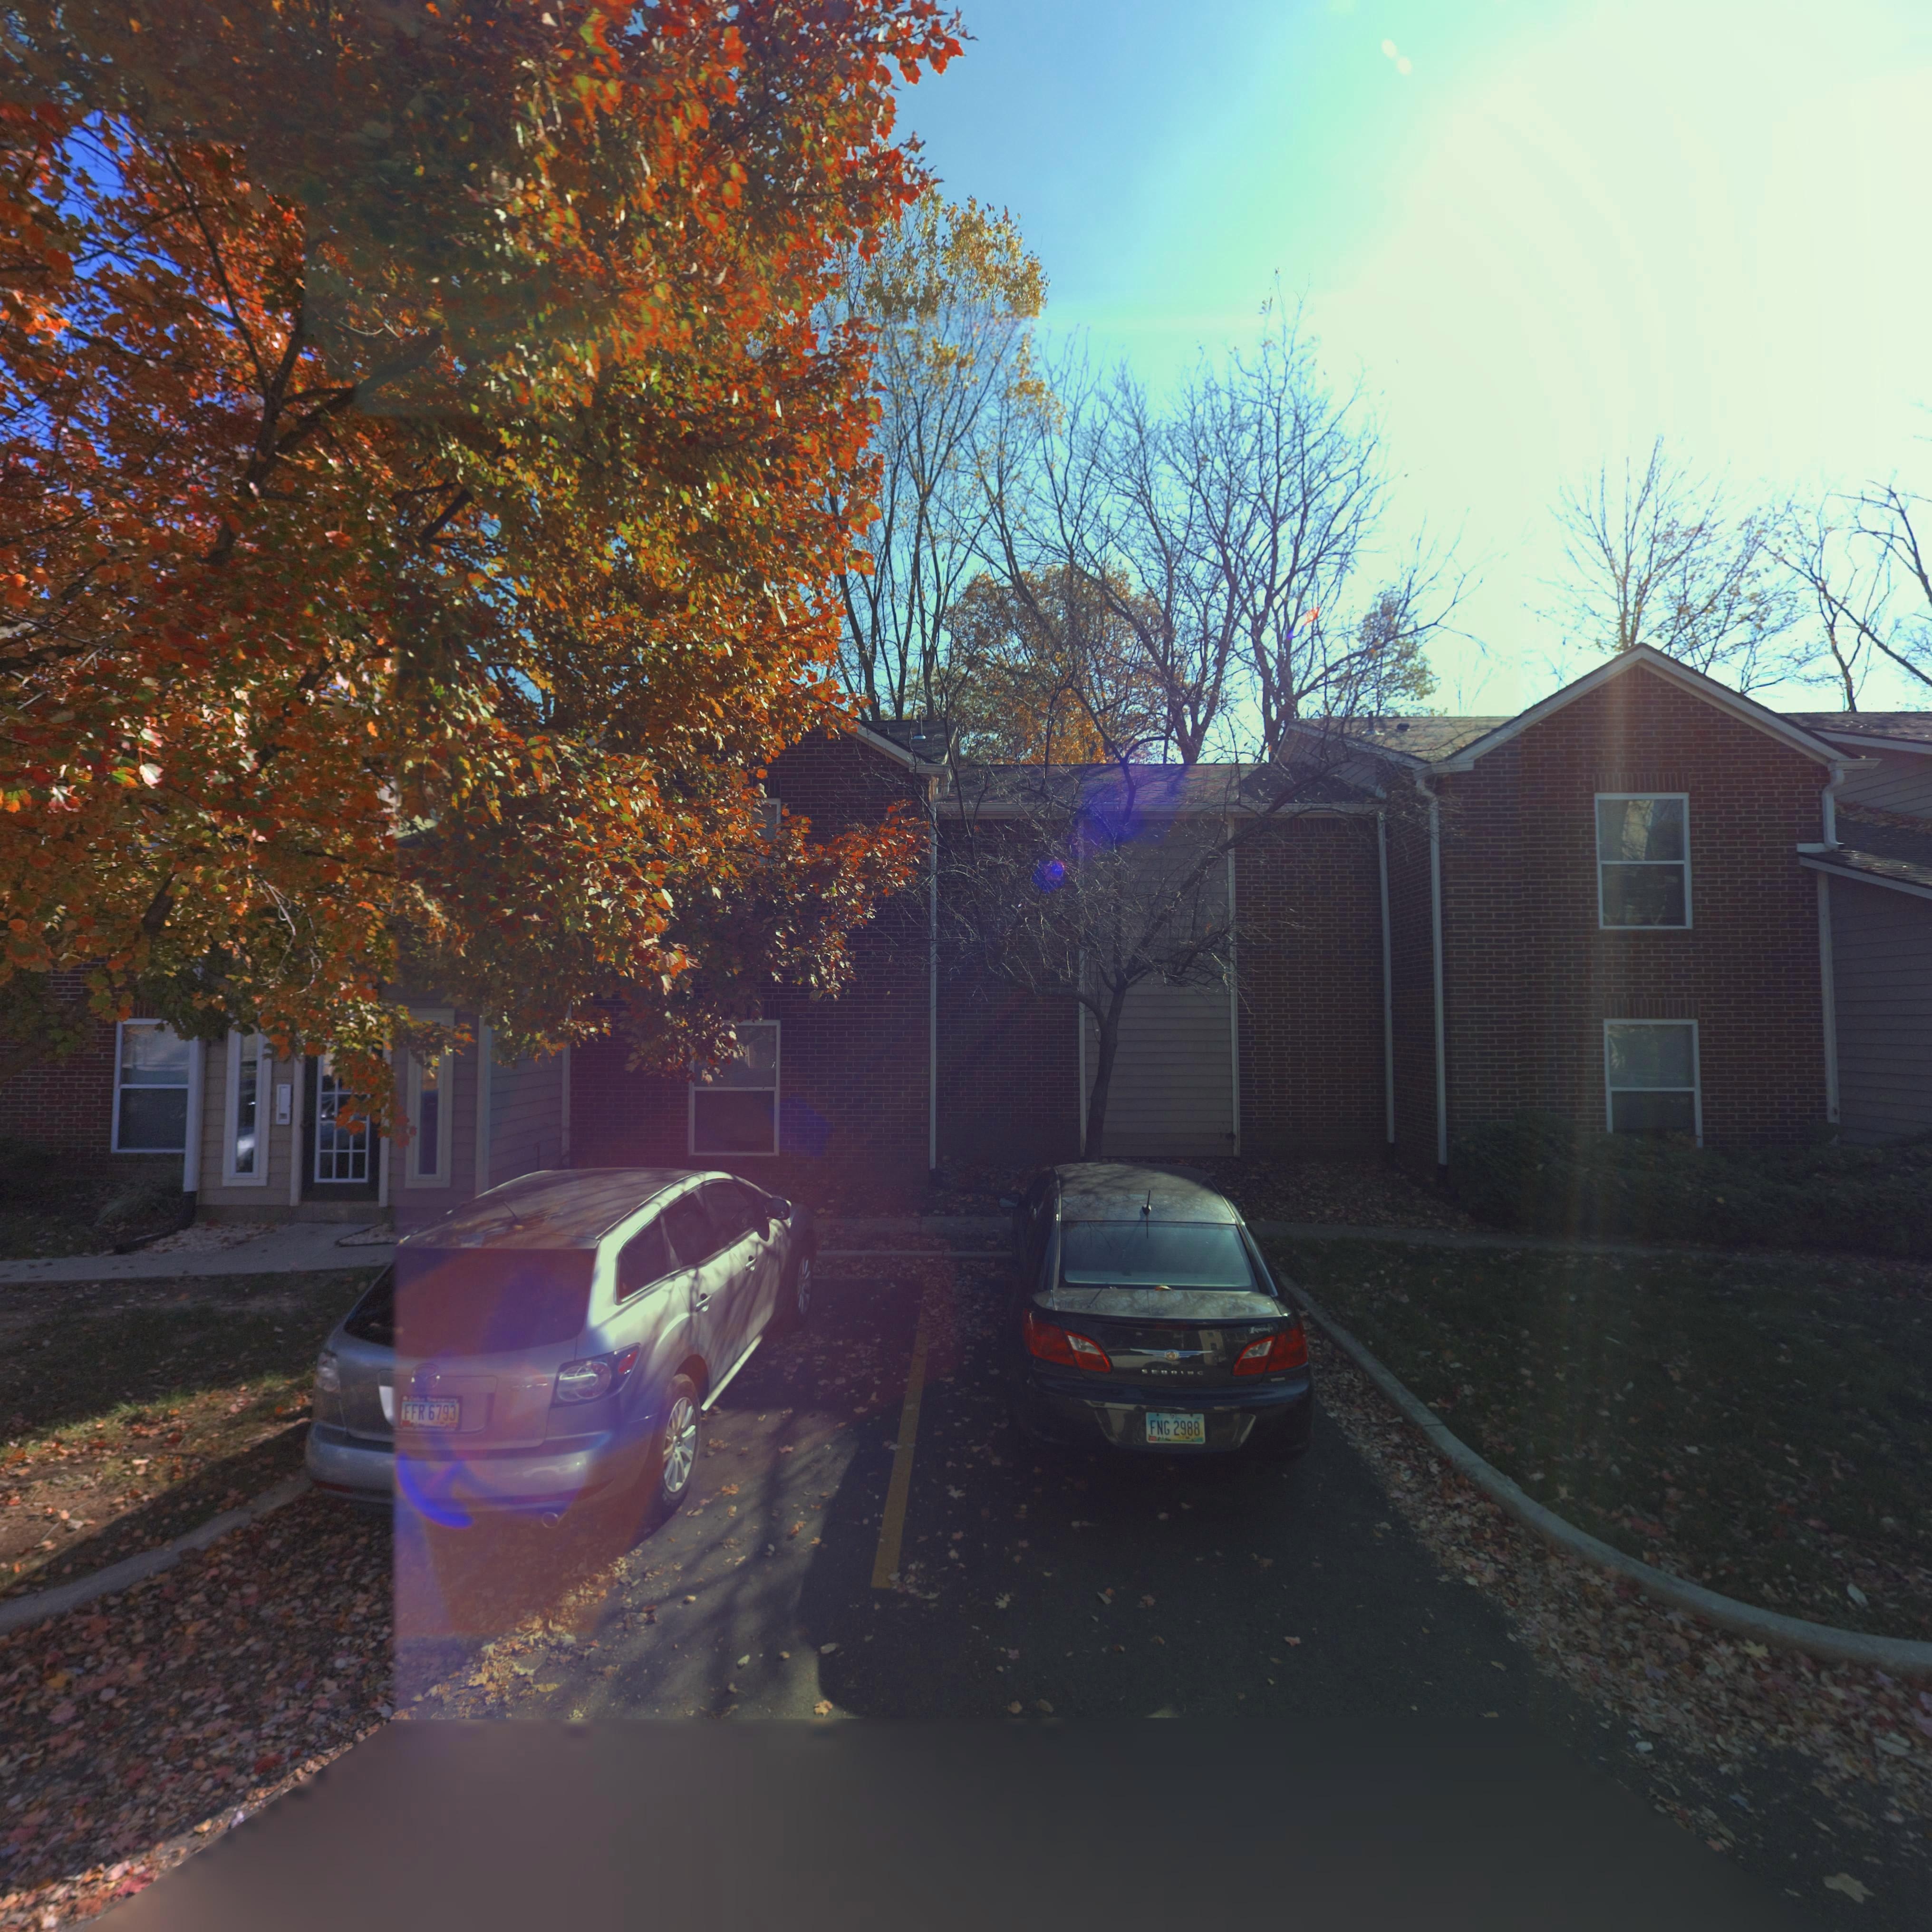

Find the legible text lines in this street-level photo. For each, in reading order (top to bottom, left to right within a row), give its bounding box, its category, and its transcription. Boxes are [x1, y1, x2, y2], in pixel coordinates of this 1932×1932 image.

[1140, 1367, 1206, 1377] None: ****ING
[403, 1402, 457, 1422] None: FFR 6793
[1149, 1417, 1202, 1437] None: FNG 2988